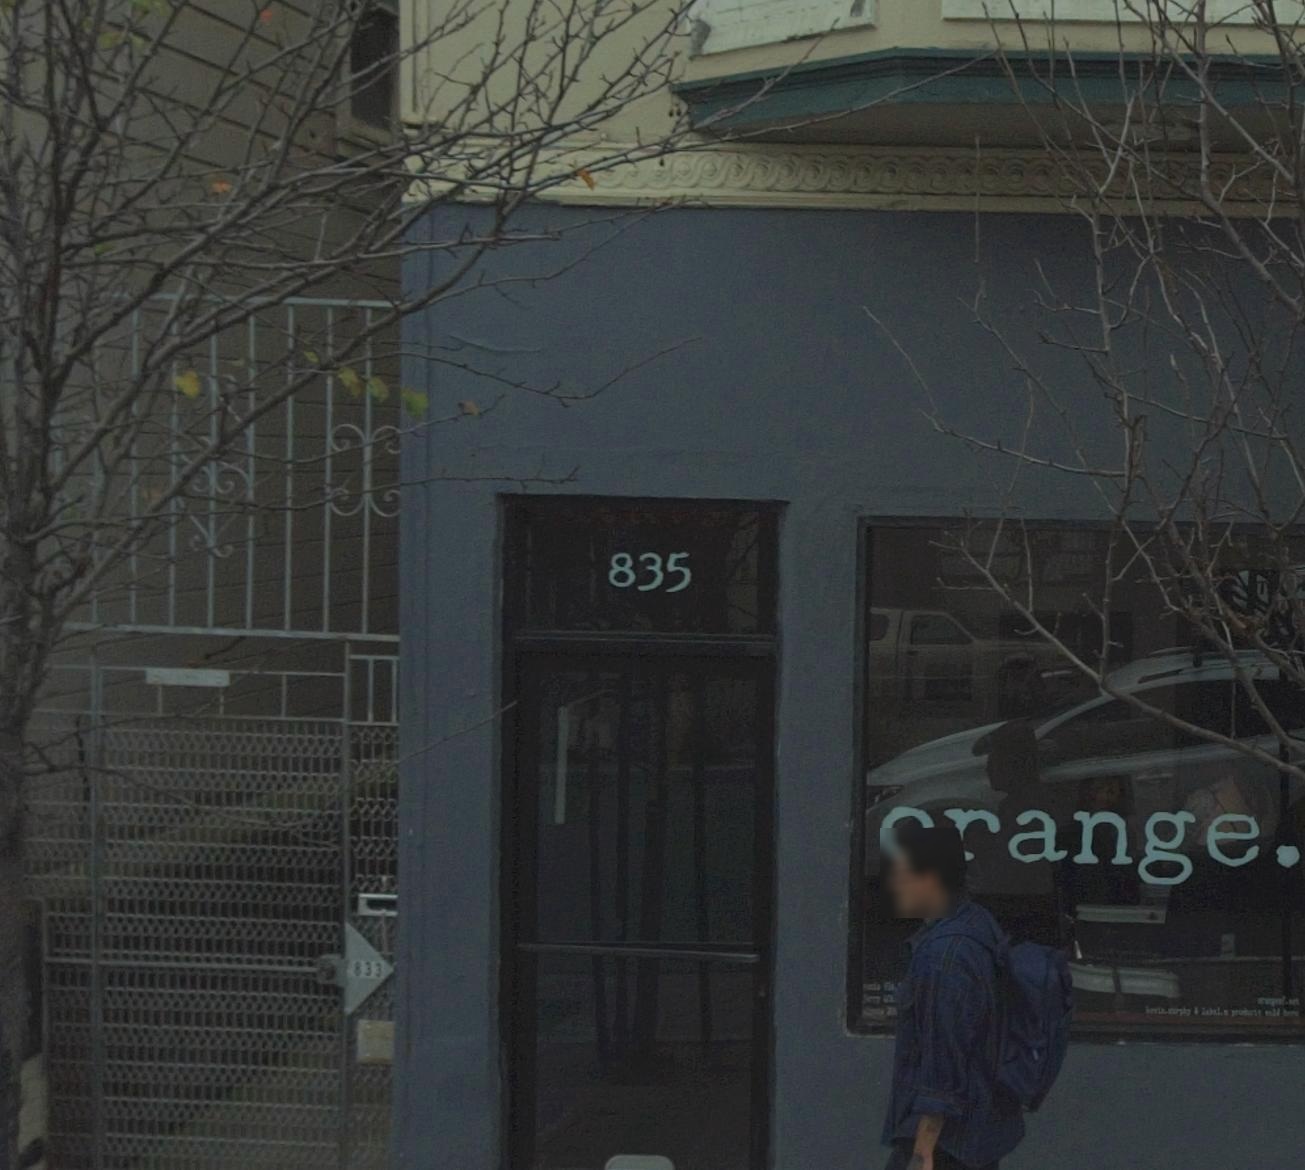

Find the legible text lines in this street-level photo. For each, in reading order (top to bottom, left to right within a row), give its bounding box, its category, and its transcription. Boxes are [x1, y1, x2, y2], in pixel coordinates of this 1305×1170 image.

[606, 550, 693, 595] StreetNumber: 835
[878, 805, 1302, 889] BusinessName: **ange.
[353, 959, 382, 980] StreetNumber: 833